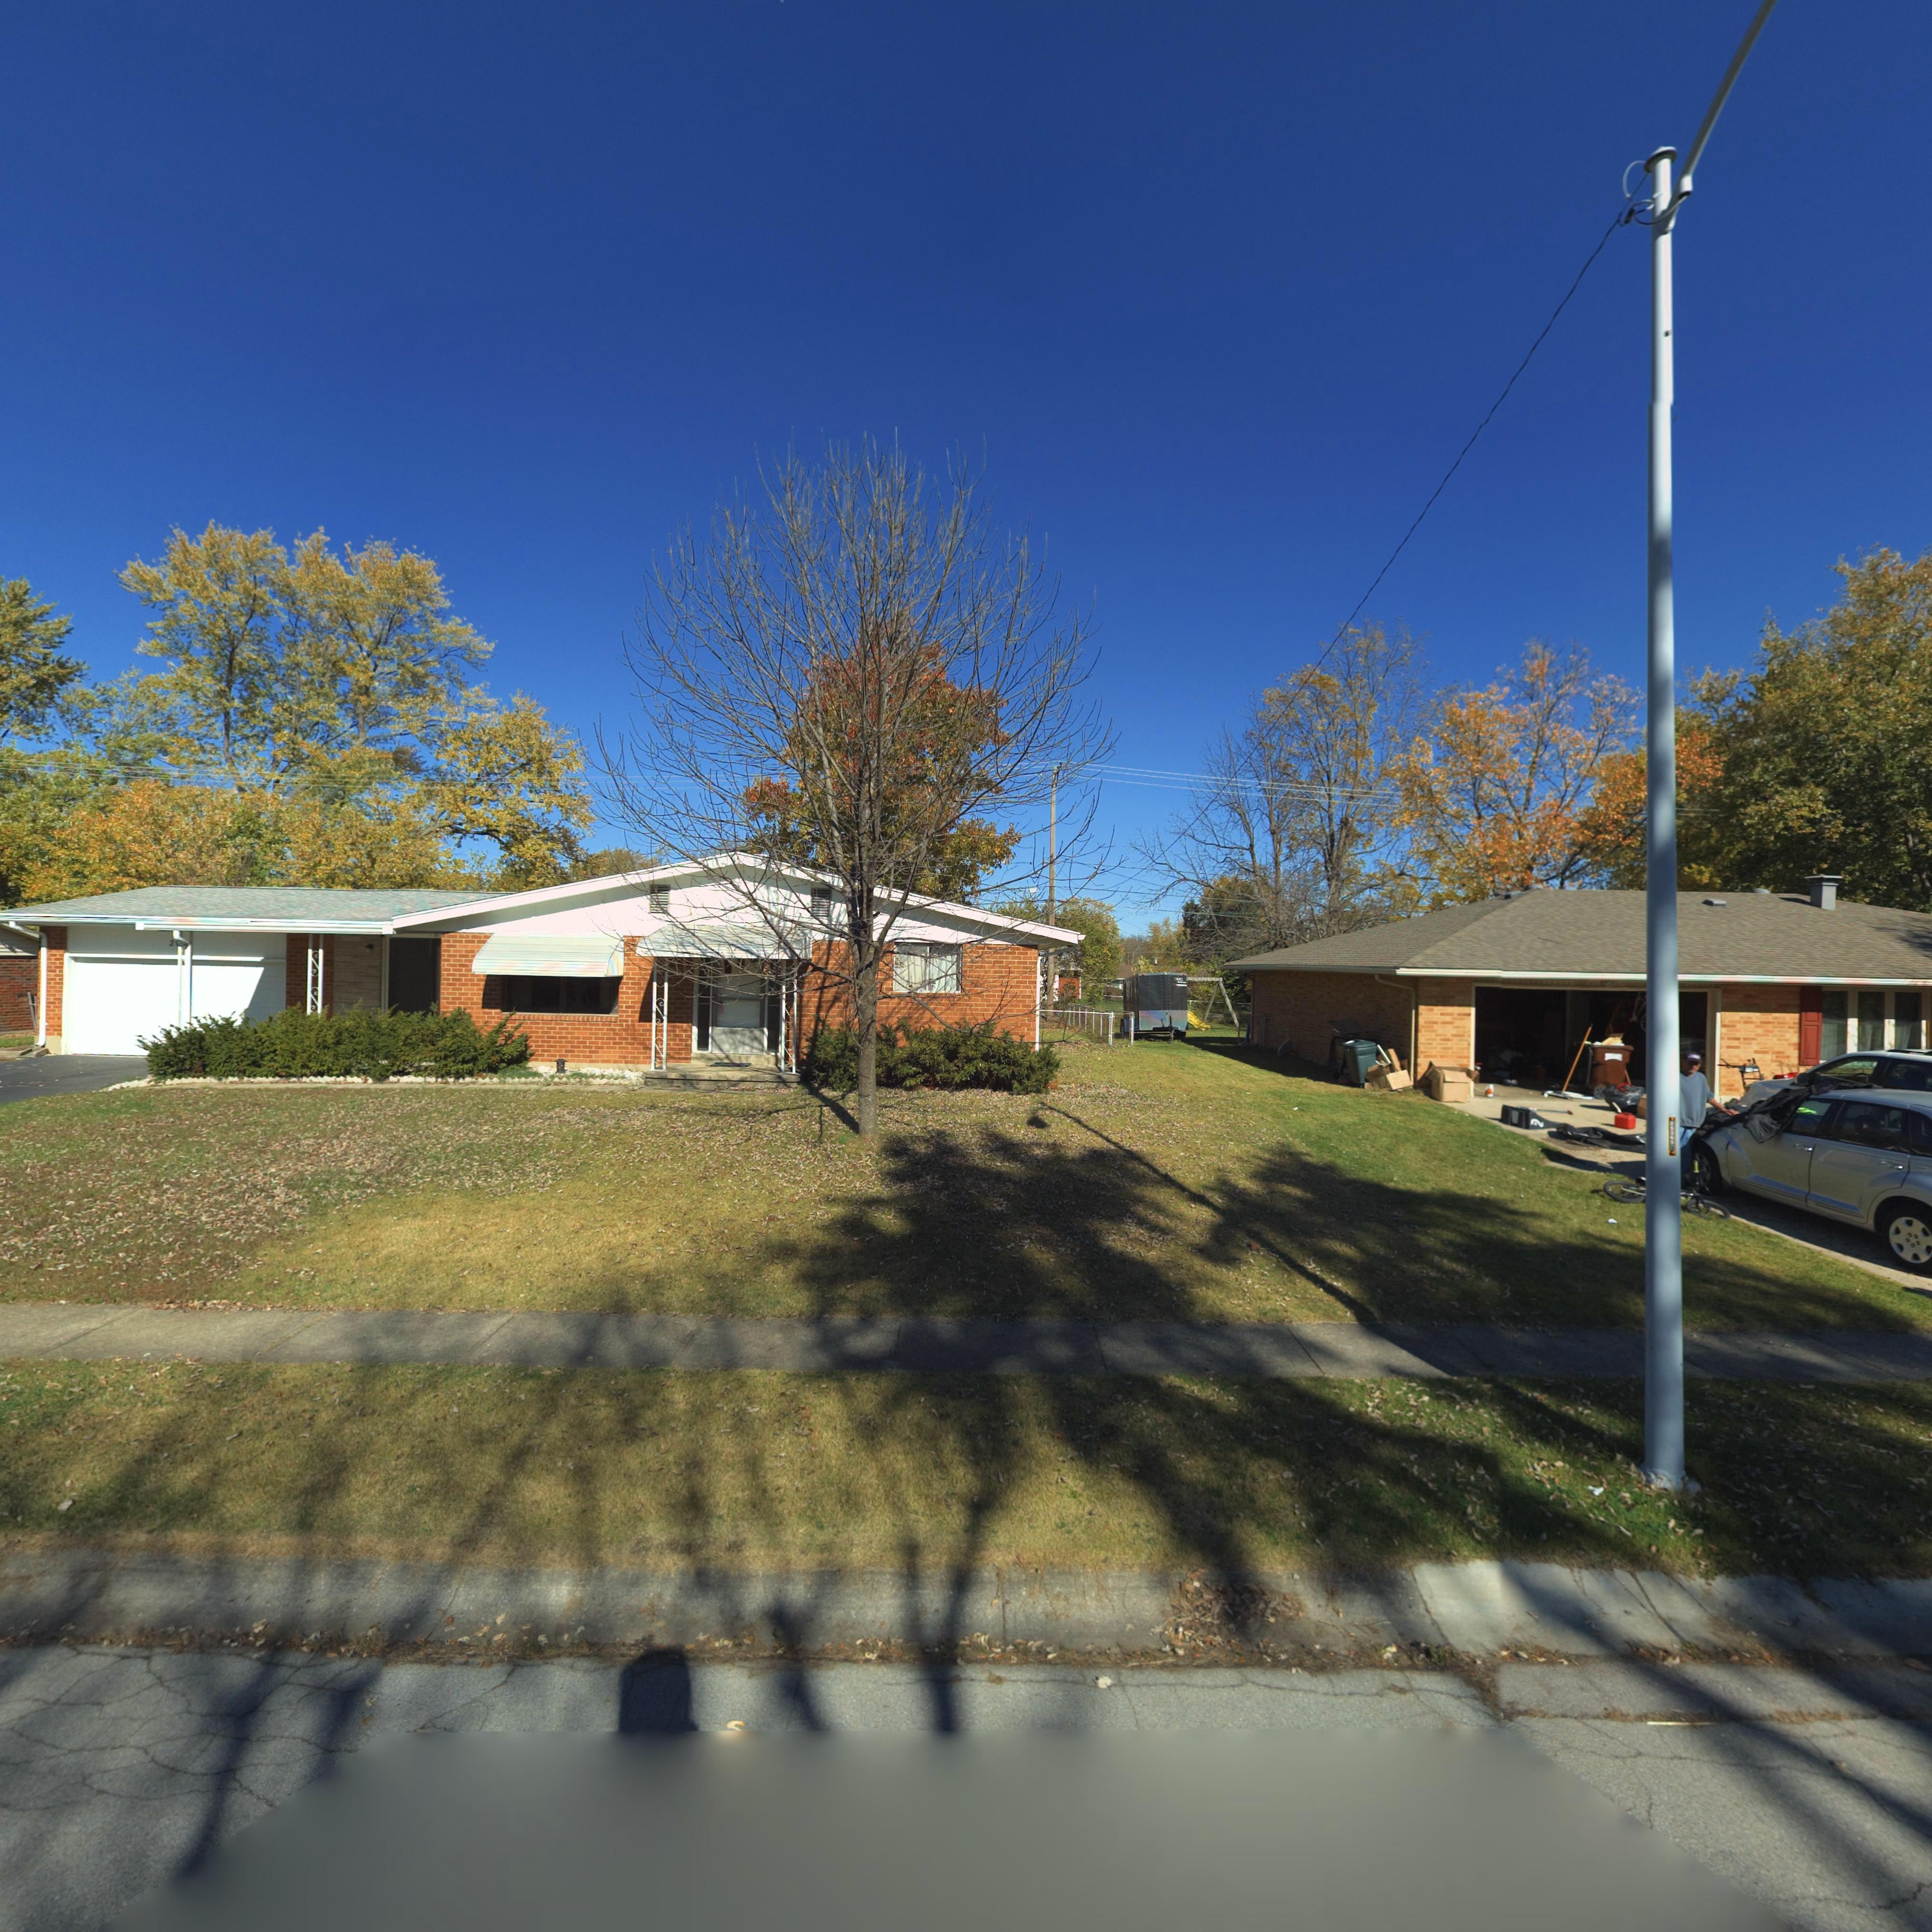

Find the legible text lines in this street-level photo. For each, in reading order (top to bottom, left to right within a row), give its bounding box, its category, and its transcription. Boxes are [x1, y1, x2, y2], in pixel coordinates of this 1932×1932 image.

[168, 939, 175, 947] StreetNumber: 2